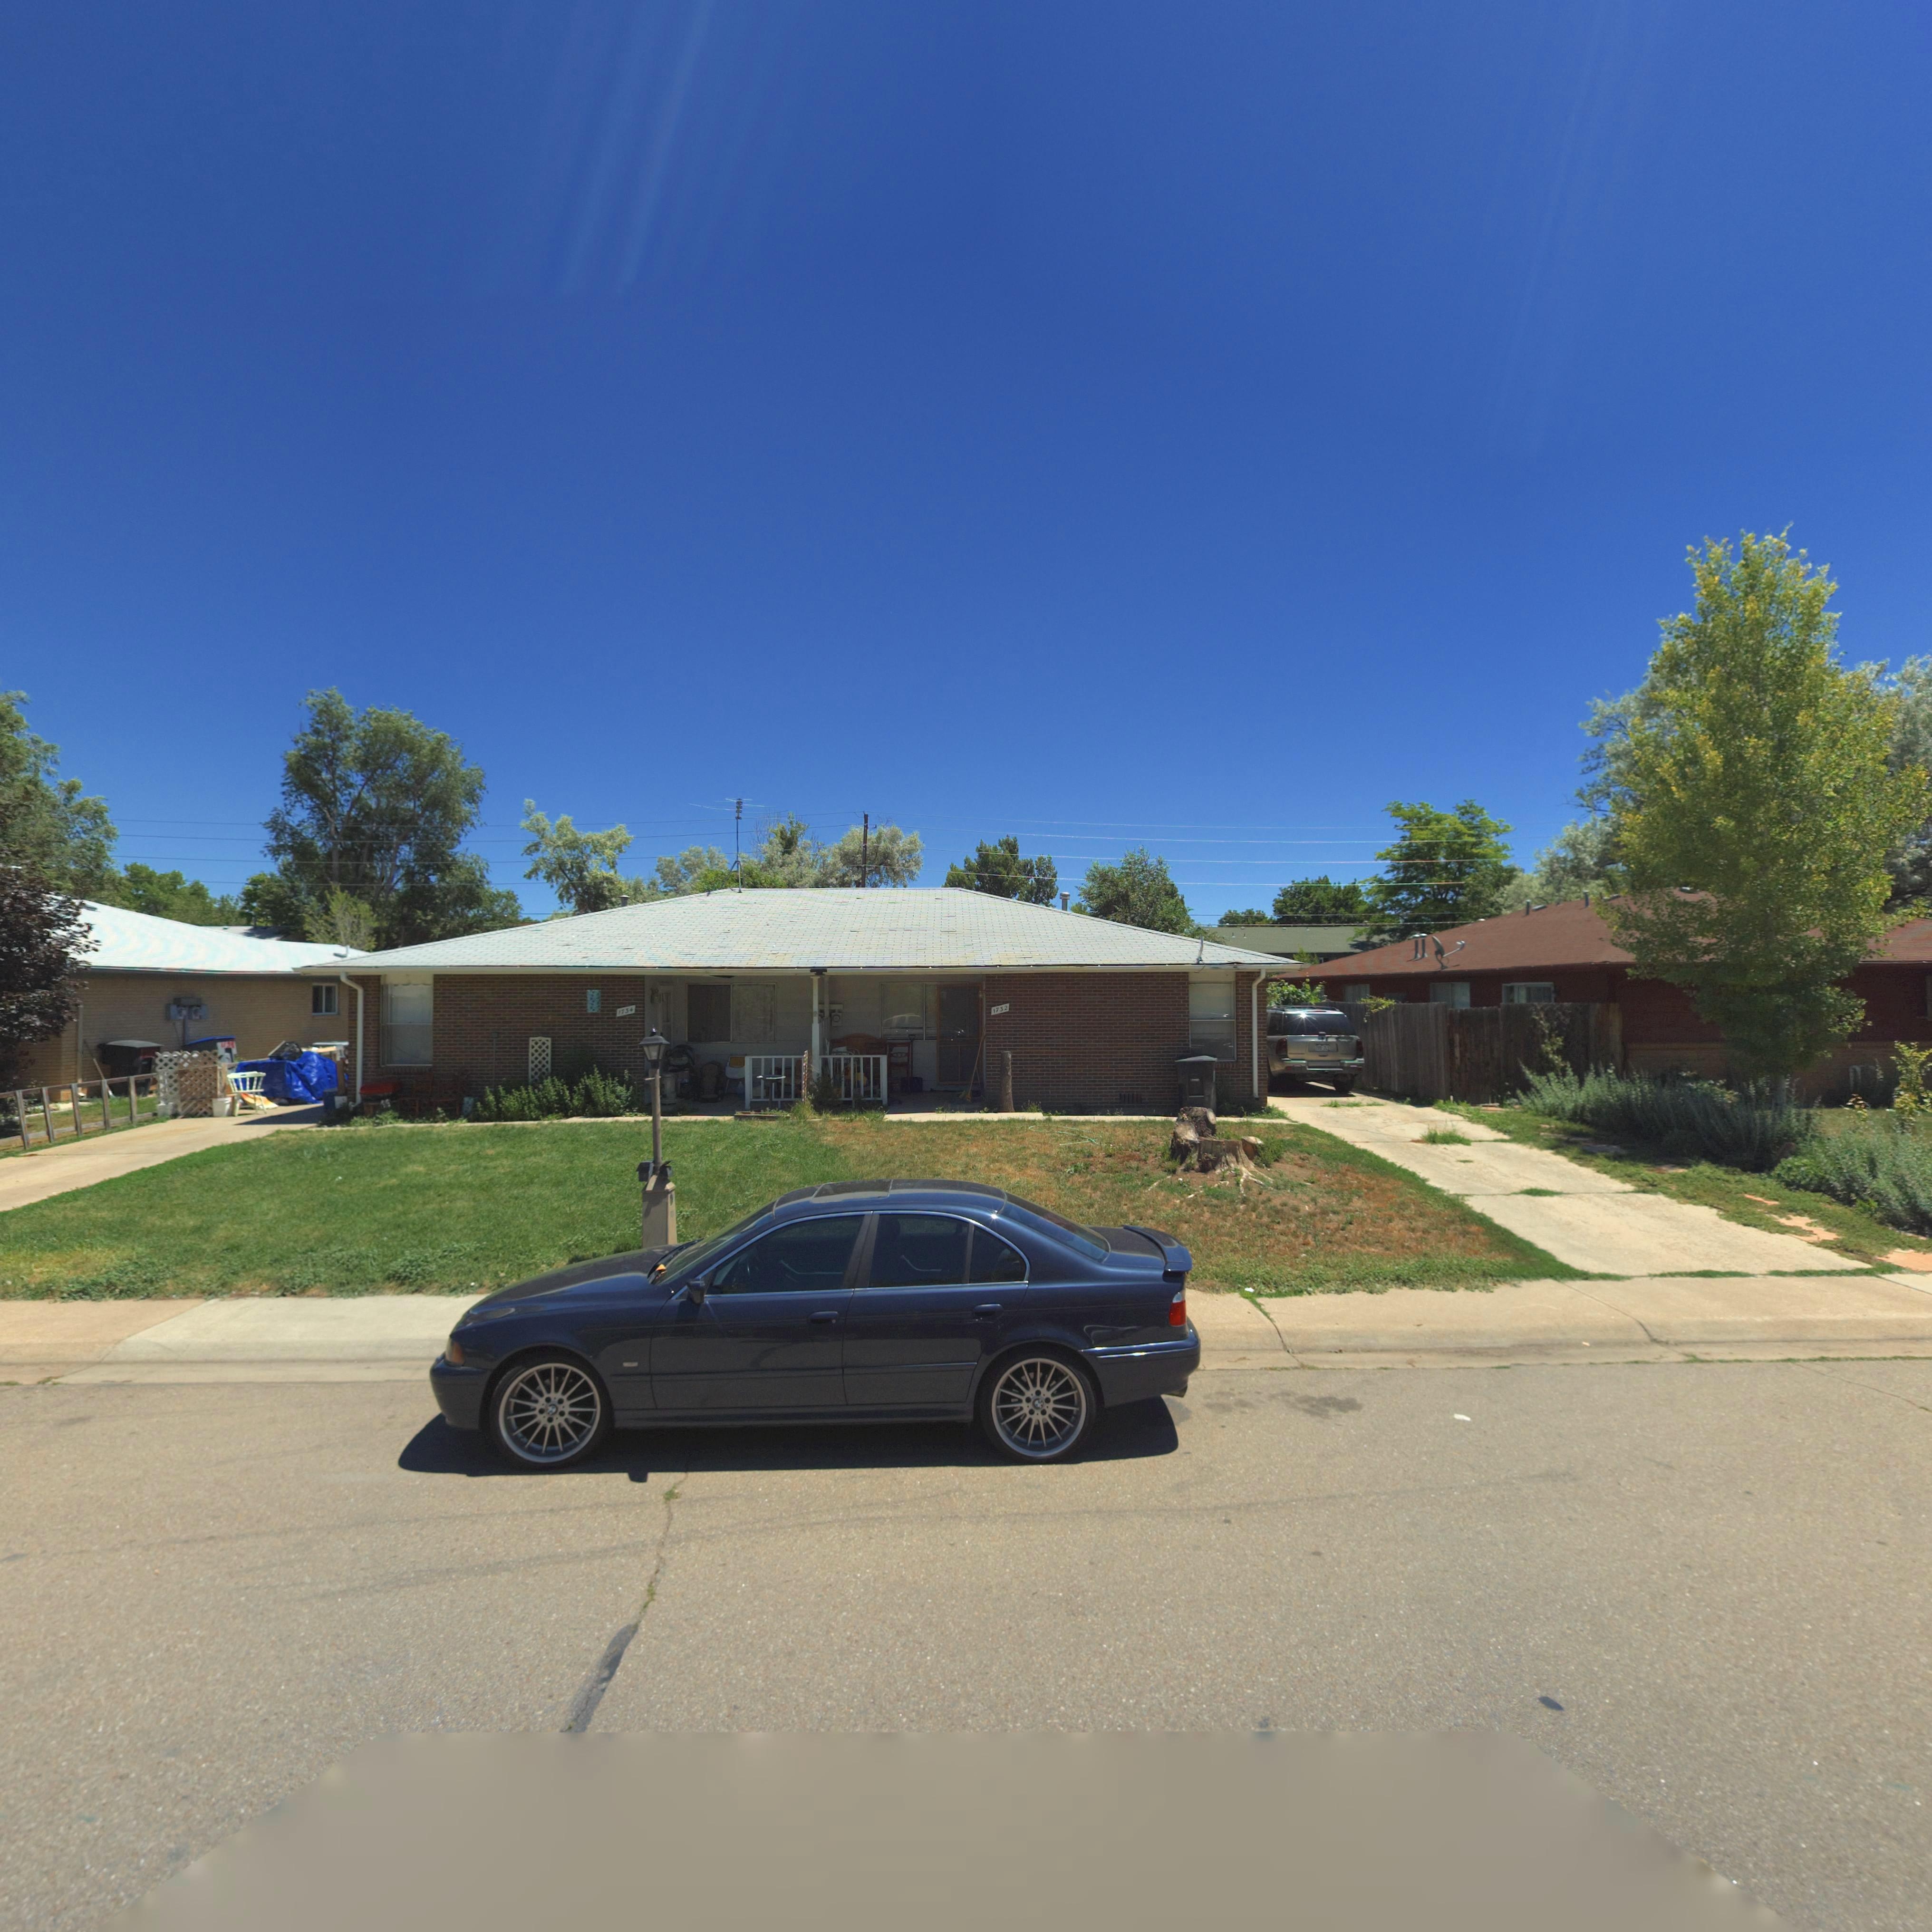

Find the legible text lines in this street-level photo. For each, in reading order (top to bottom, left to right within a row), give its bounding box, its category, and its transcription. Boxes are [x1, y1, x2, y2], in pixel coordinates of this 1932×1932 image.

[618, 1006, 633, 1015] StreetNumber: 1734
[993, 1005, 1008, 1013] StreetNumber: 1732